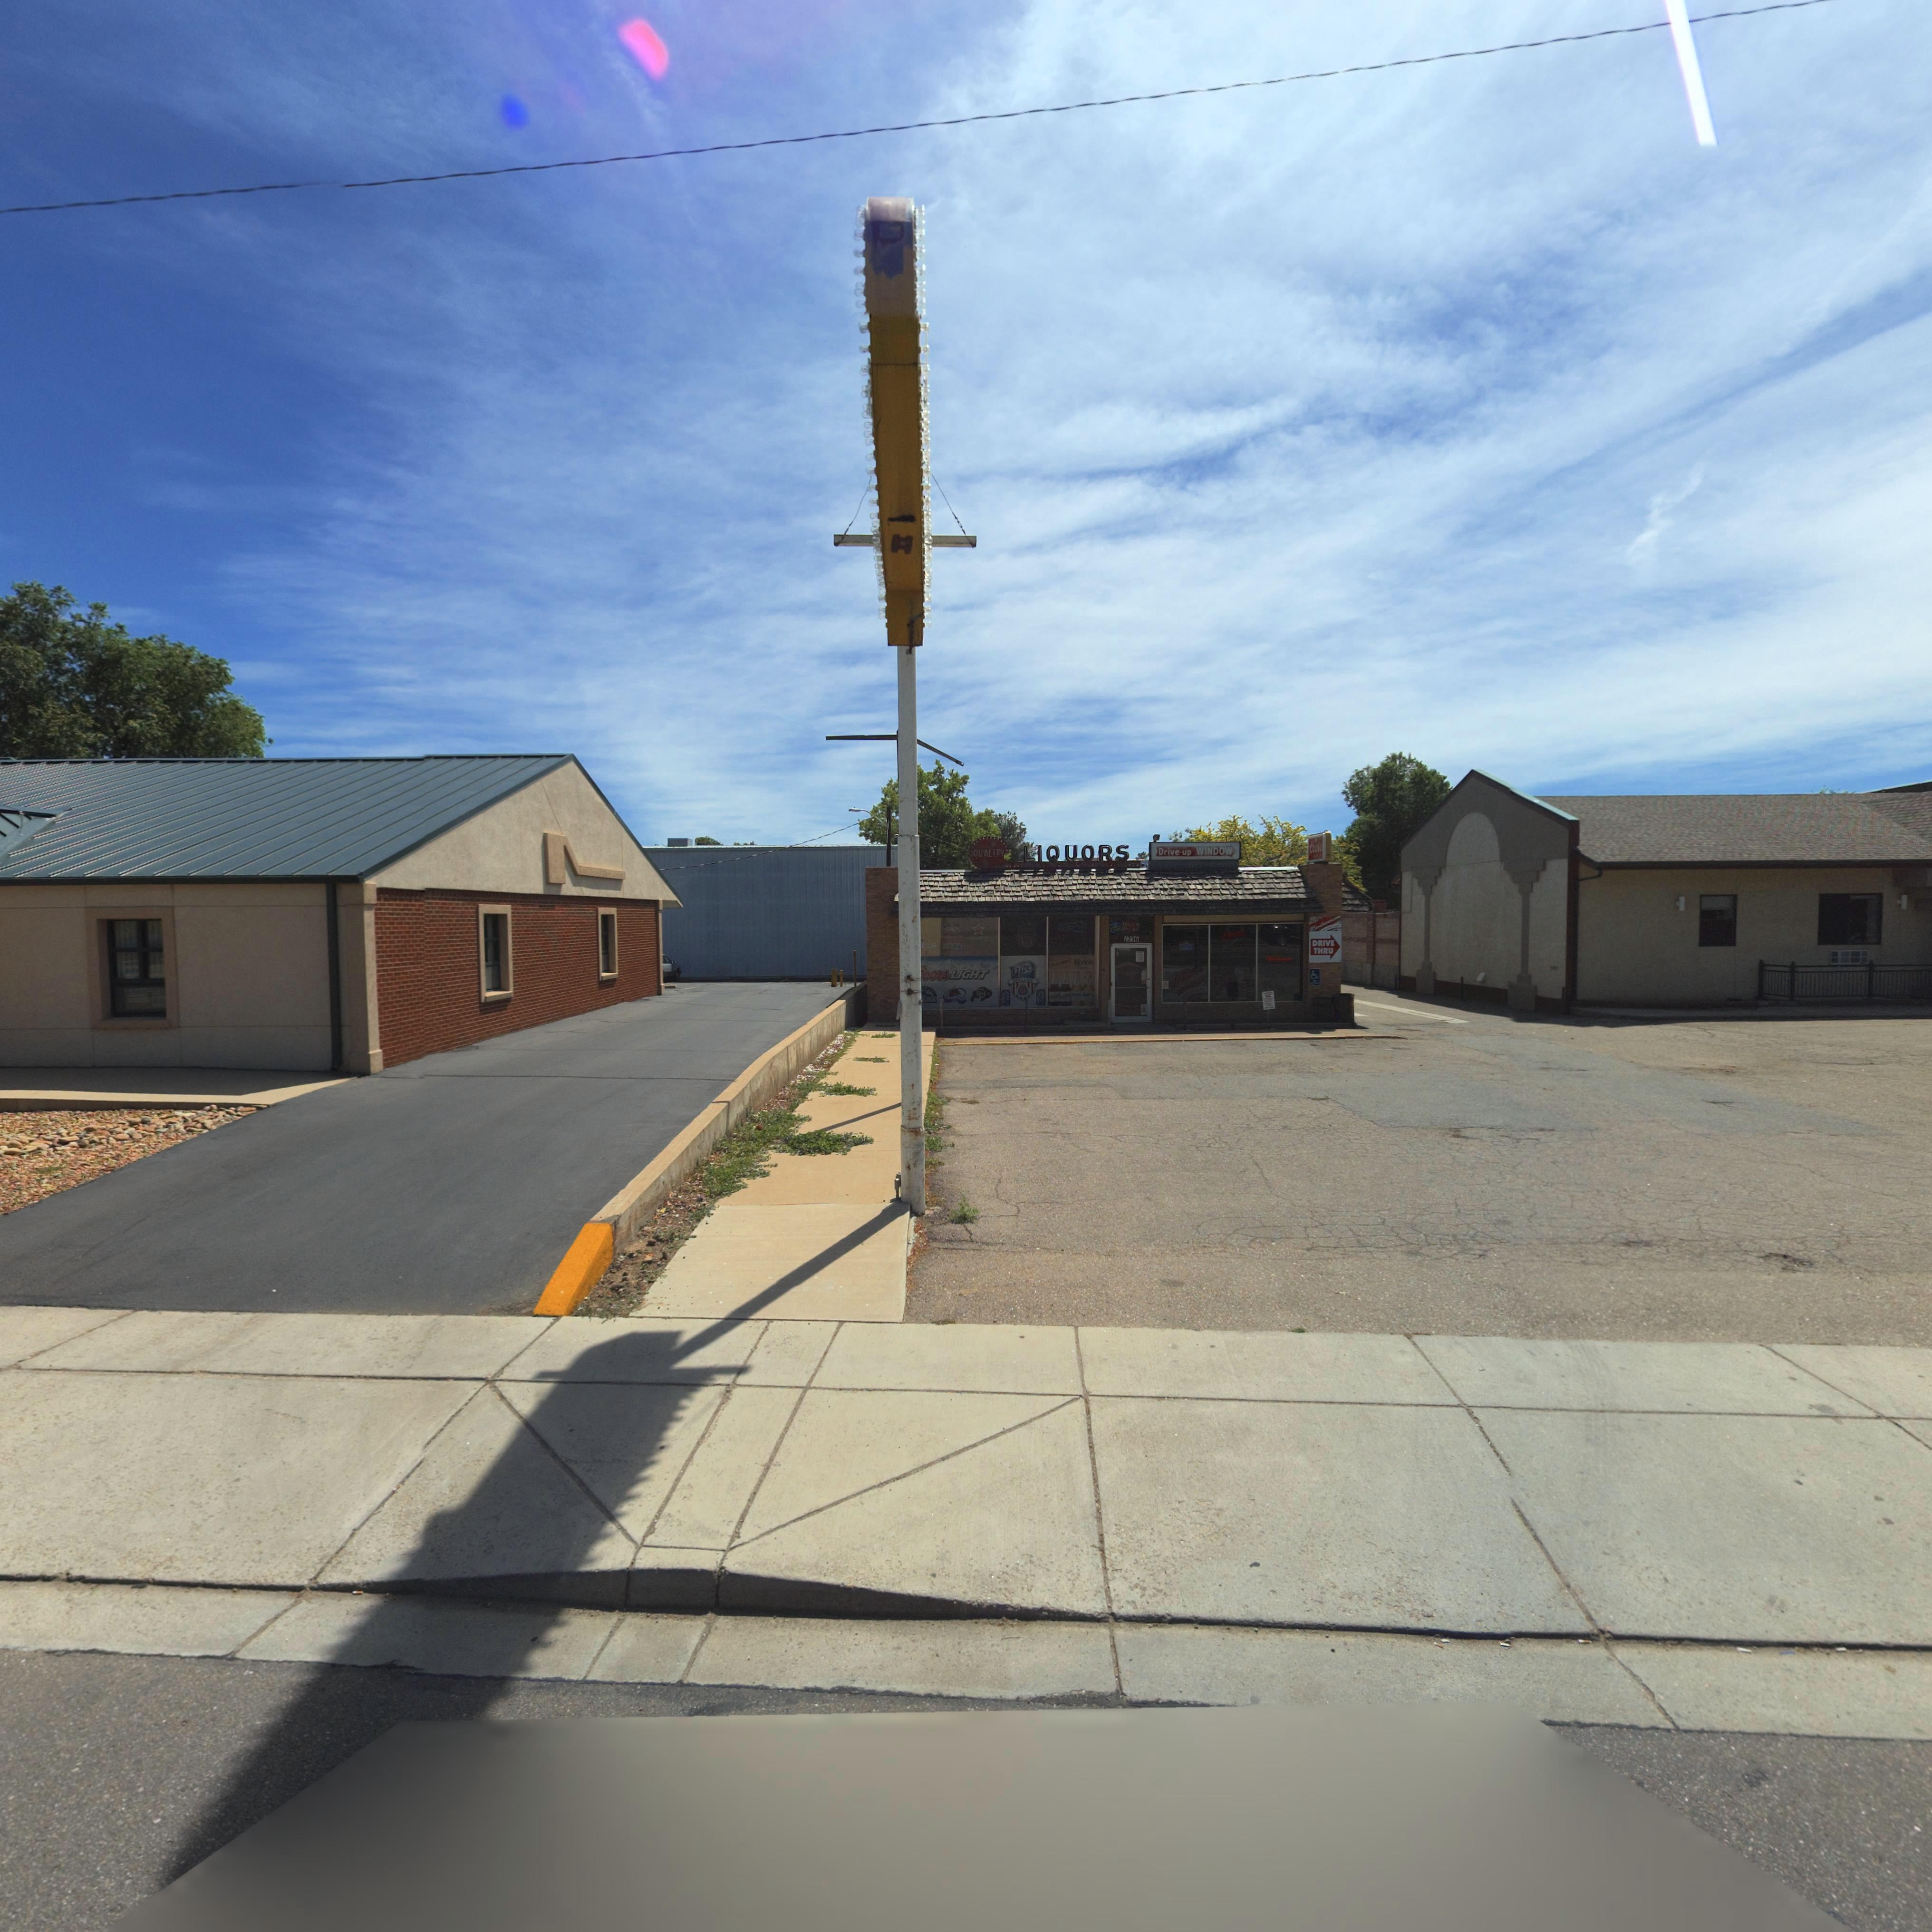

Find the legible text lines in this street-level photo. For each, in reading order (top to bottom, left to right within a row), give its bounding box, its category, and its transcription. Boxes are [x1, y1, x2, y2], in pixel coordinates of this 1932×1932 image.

[973, 849, 1005, 860] BusinessName: QUALITY
[1023, 844, 1130, 864] BusinessName: LIQUORS
[1124, 936, 1138, 942] StreetNumber: 1236